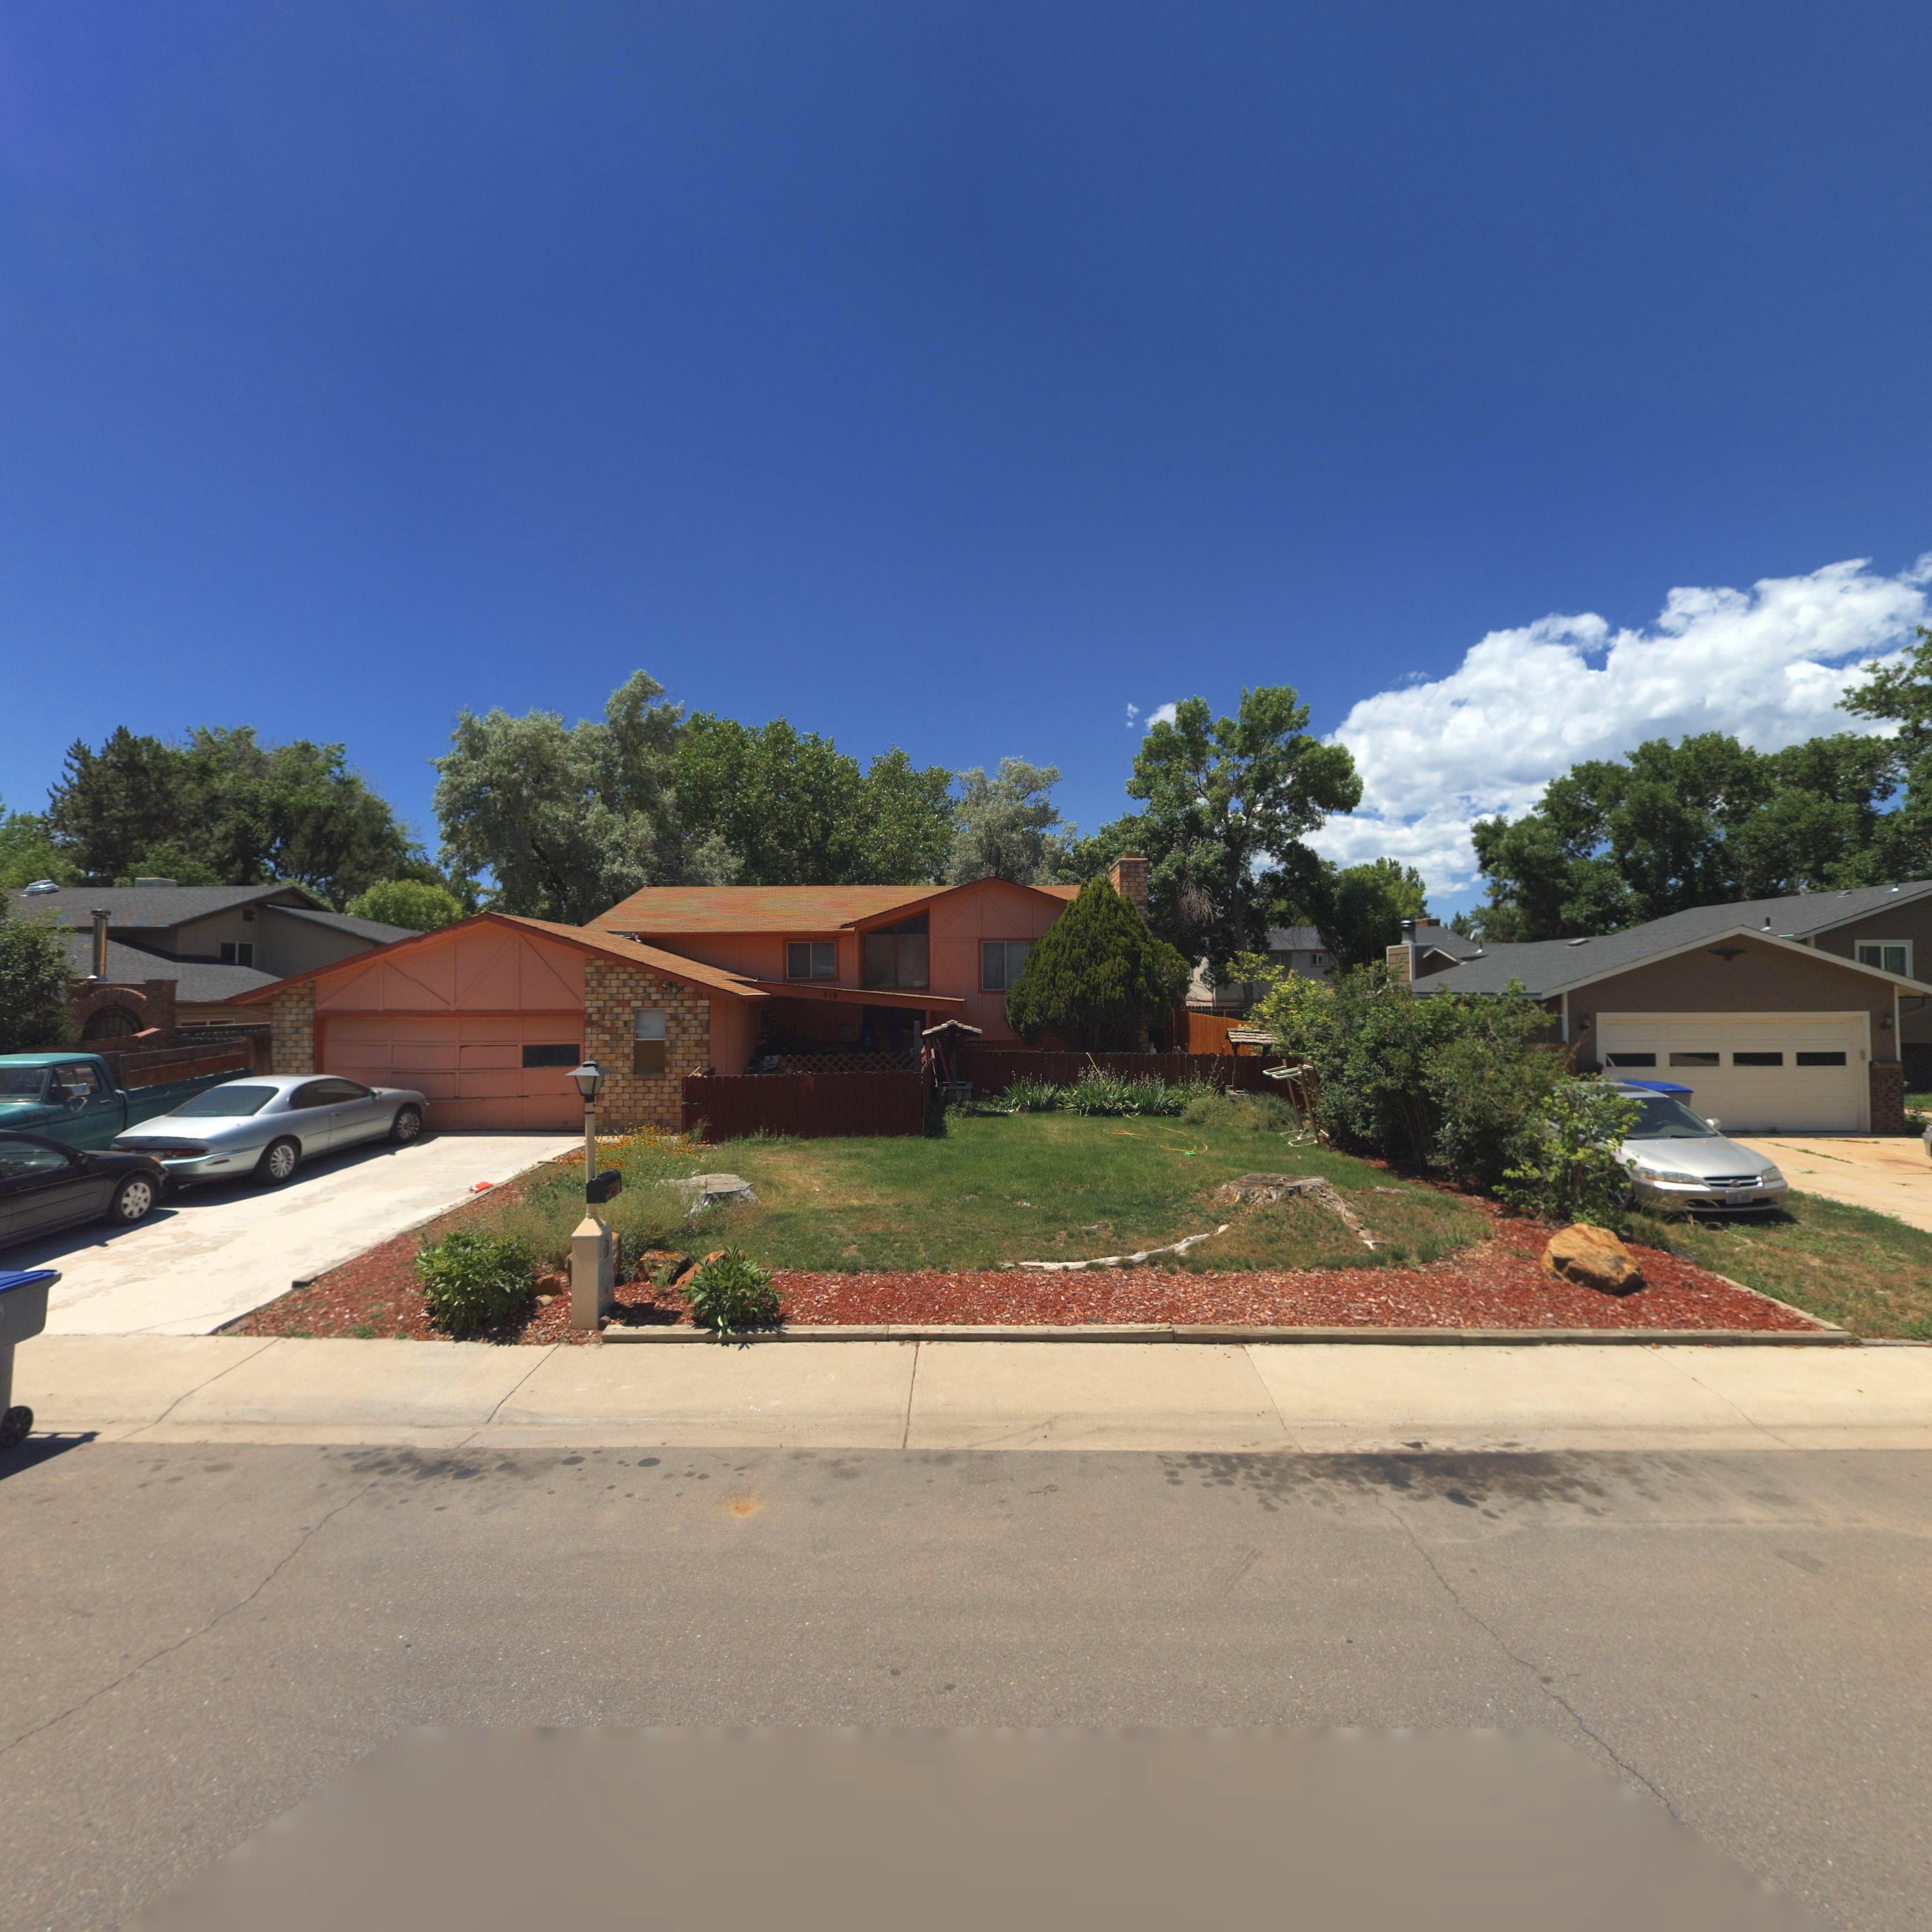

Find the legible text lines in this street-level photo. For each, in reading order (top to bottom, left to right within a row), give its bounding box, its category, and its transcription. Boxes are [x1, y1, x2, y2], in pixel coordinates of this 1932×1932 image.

[823, 991, 838, 999] StreetNumber: 819